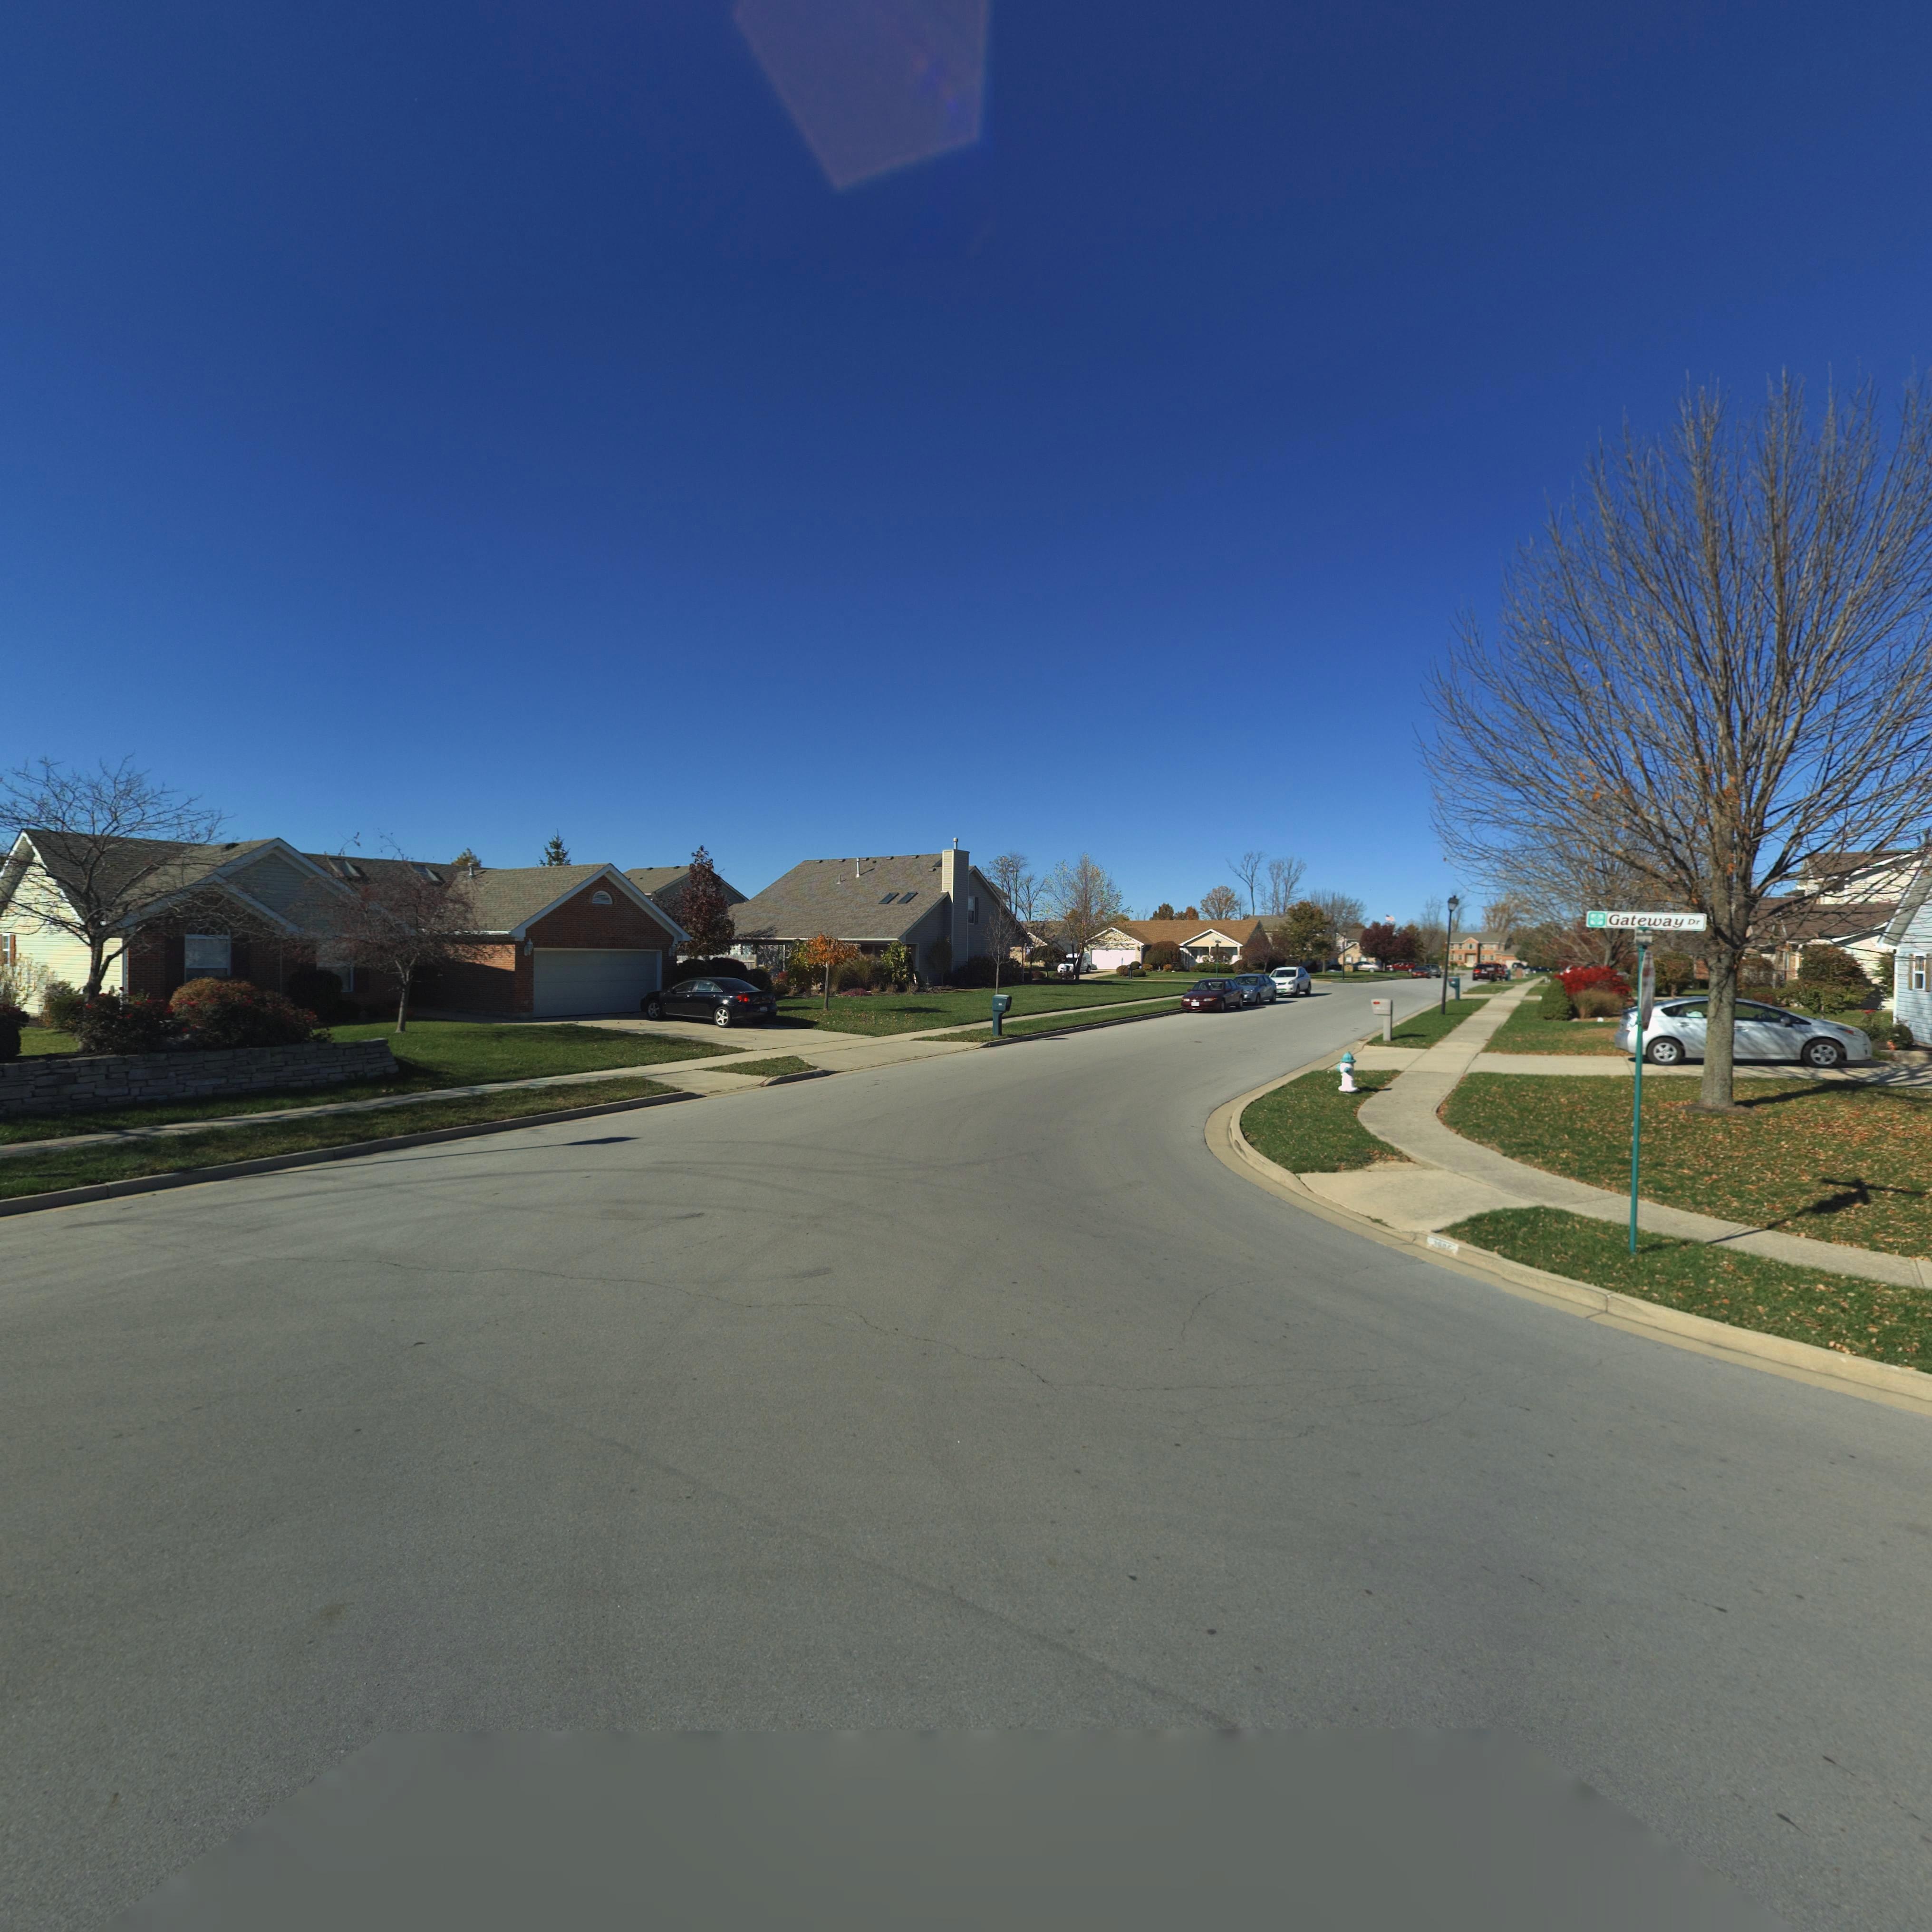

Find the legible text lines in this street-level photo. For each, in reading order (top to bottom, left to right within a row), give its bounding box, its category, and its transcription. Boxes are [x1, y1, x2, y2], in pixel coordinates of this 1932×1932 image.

[1607, 913, 1702, 928] StreetName: Gateway Dr
[1431, 1239, 1452, 1254] StreetNumber: 29**